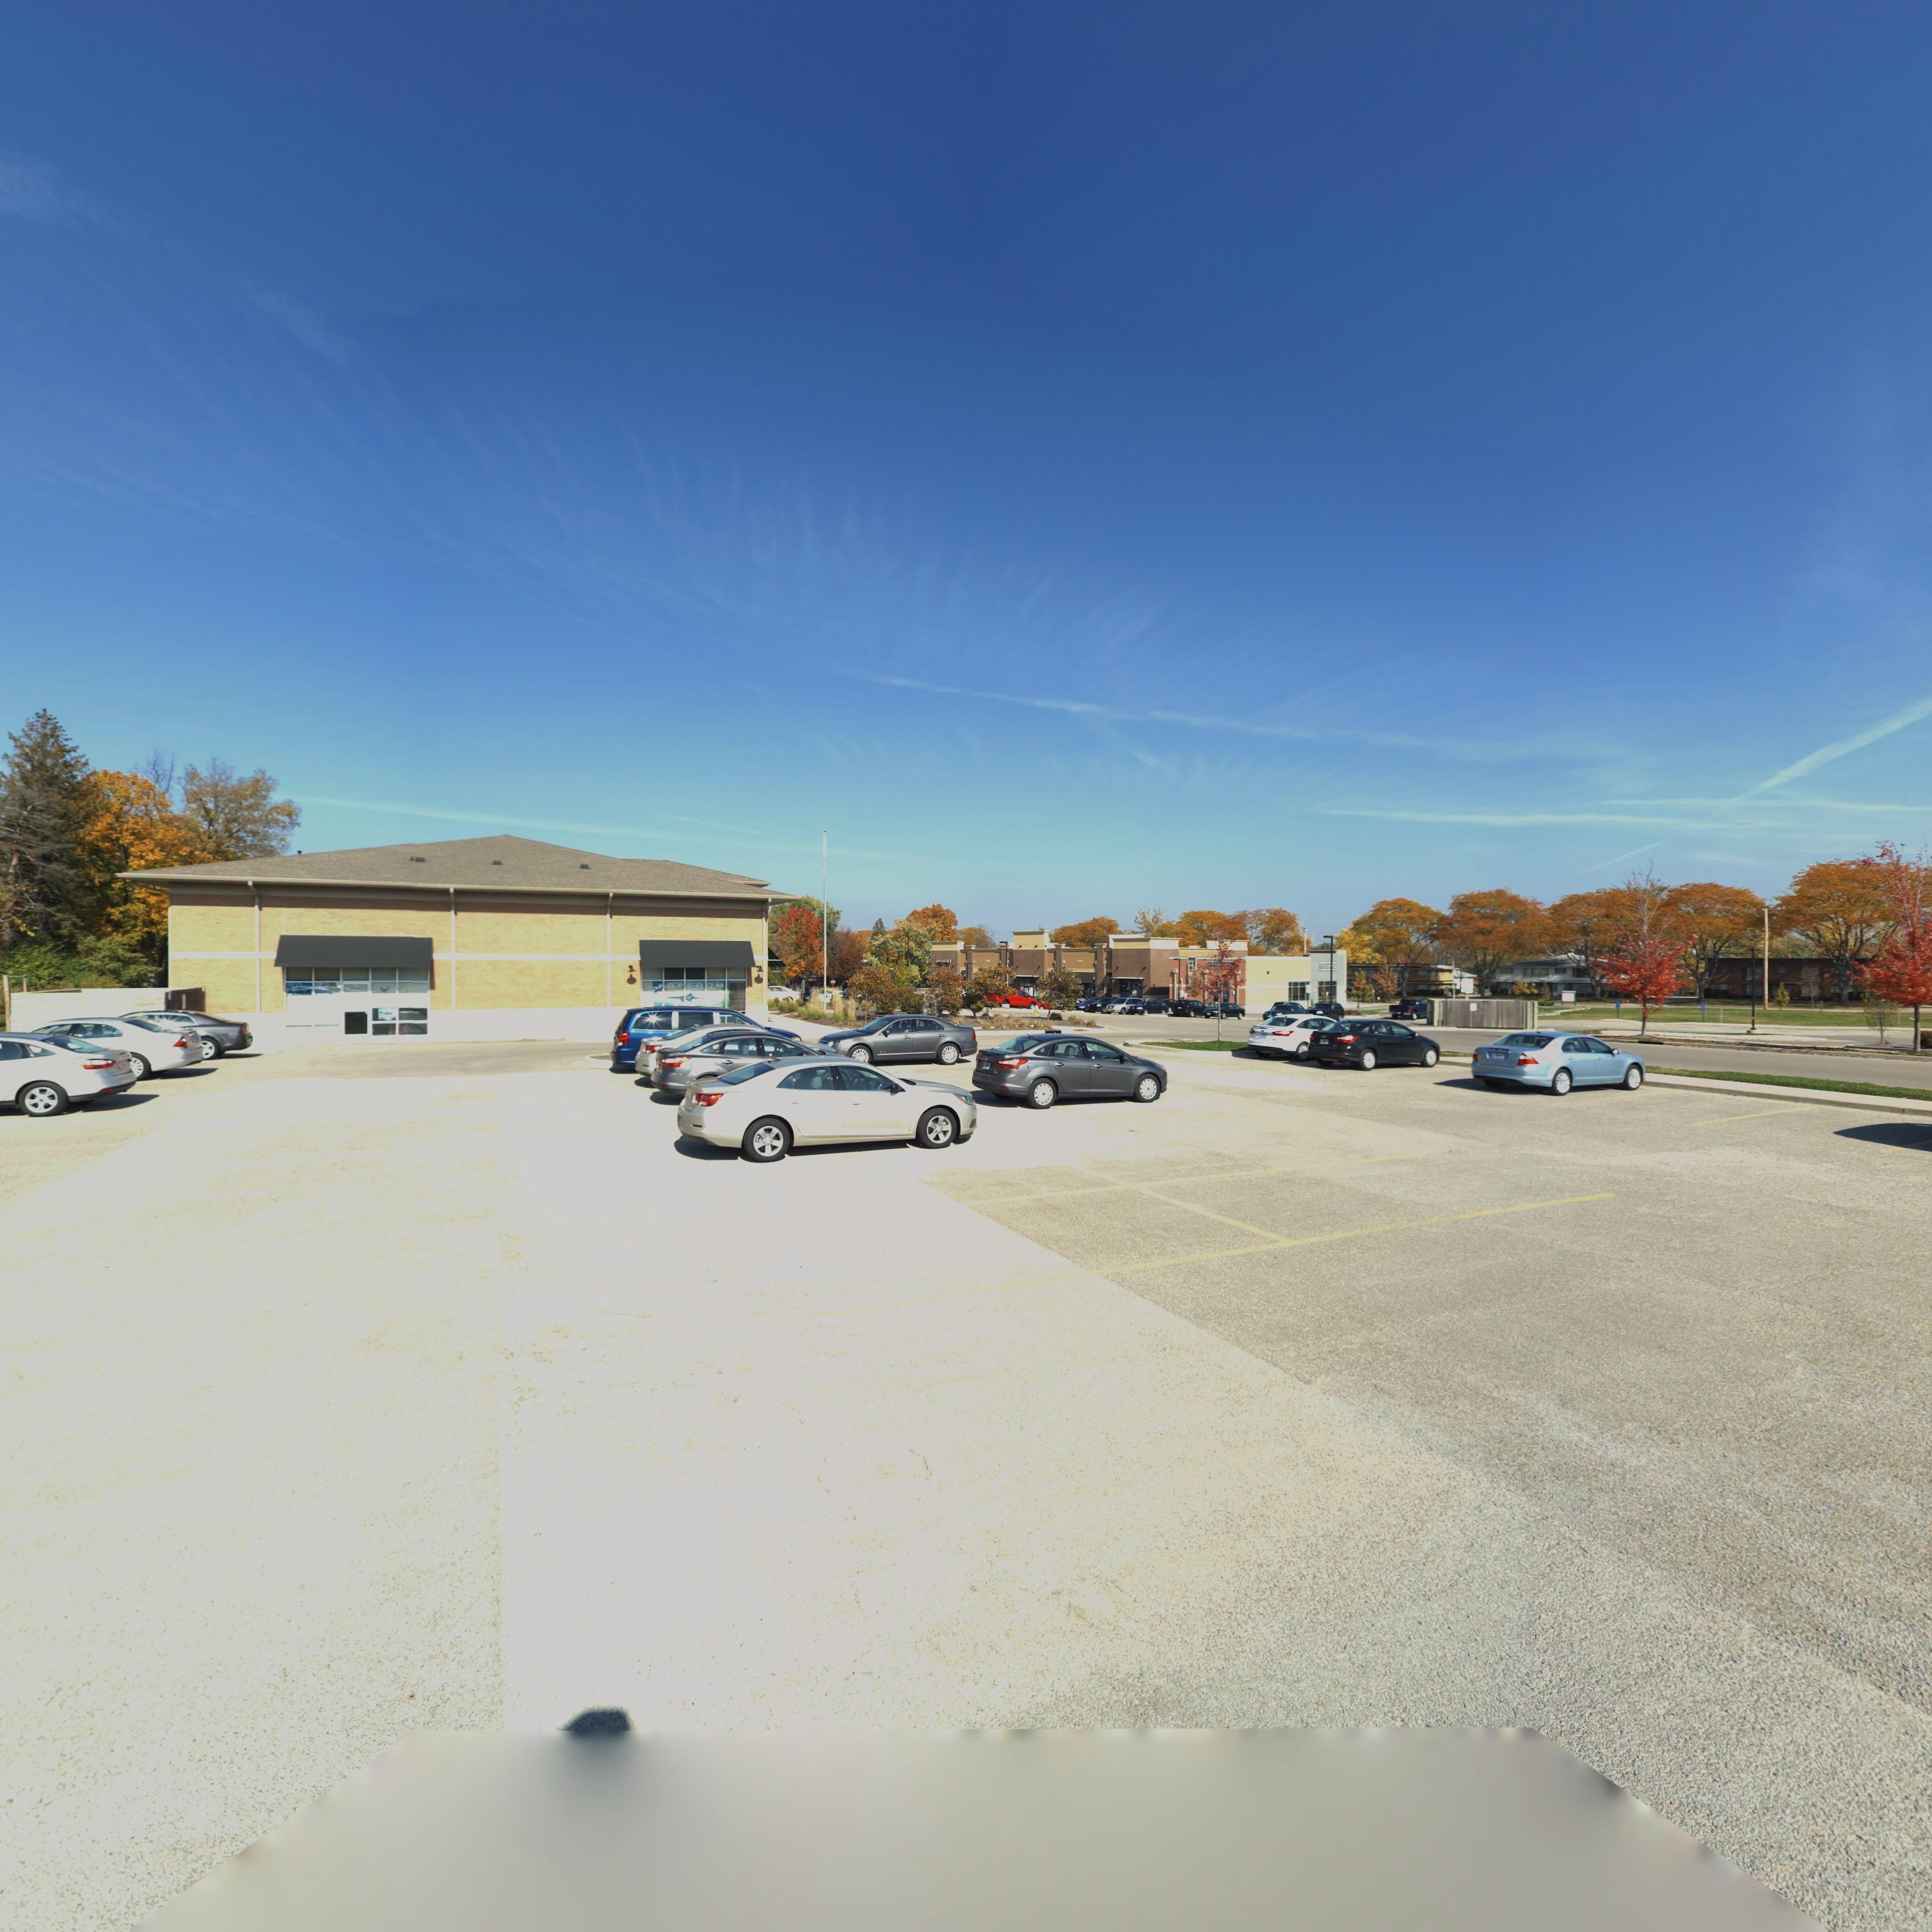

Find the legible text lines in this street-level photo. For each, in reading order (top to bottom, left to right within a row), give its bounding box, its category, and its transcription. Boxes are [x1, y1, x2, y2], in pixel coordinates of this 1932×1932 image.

[657, 982, 724, 989] None: FREEDOM